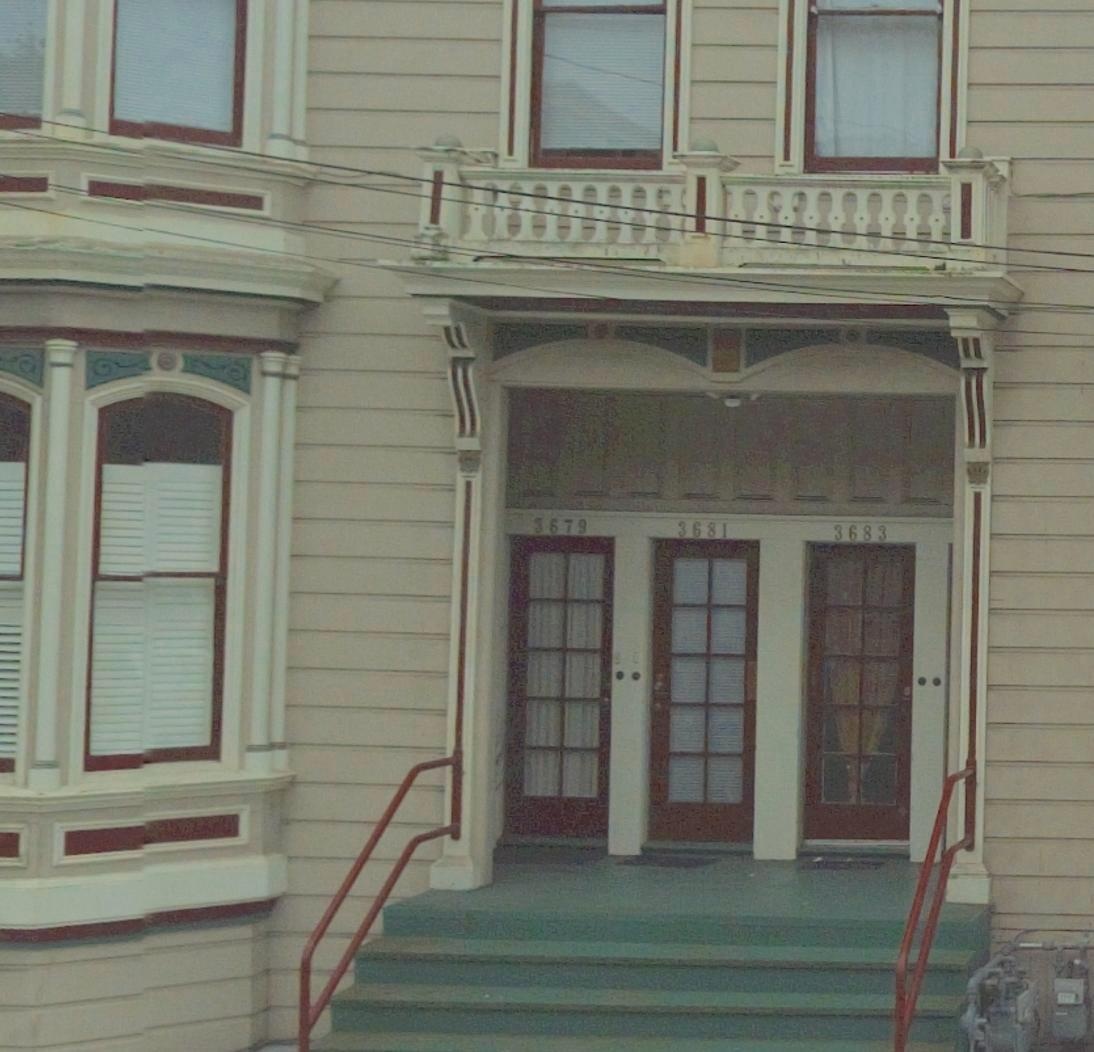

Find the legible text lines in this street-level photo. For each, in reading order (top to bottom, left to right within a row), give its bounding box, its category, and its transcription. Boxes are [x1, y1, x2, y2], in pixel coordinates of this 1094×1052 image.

[533, 516, 588, 536] StreetNumber: 3679
[676, 519, 730, 540] StreetNumber: 3681
[832, 523, 887, 542] StreetNumber: 3683